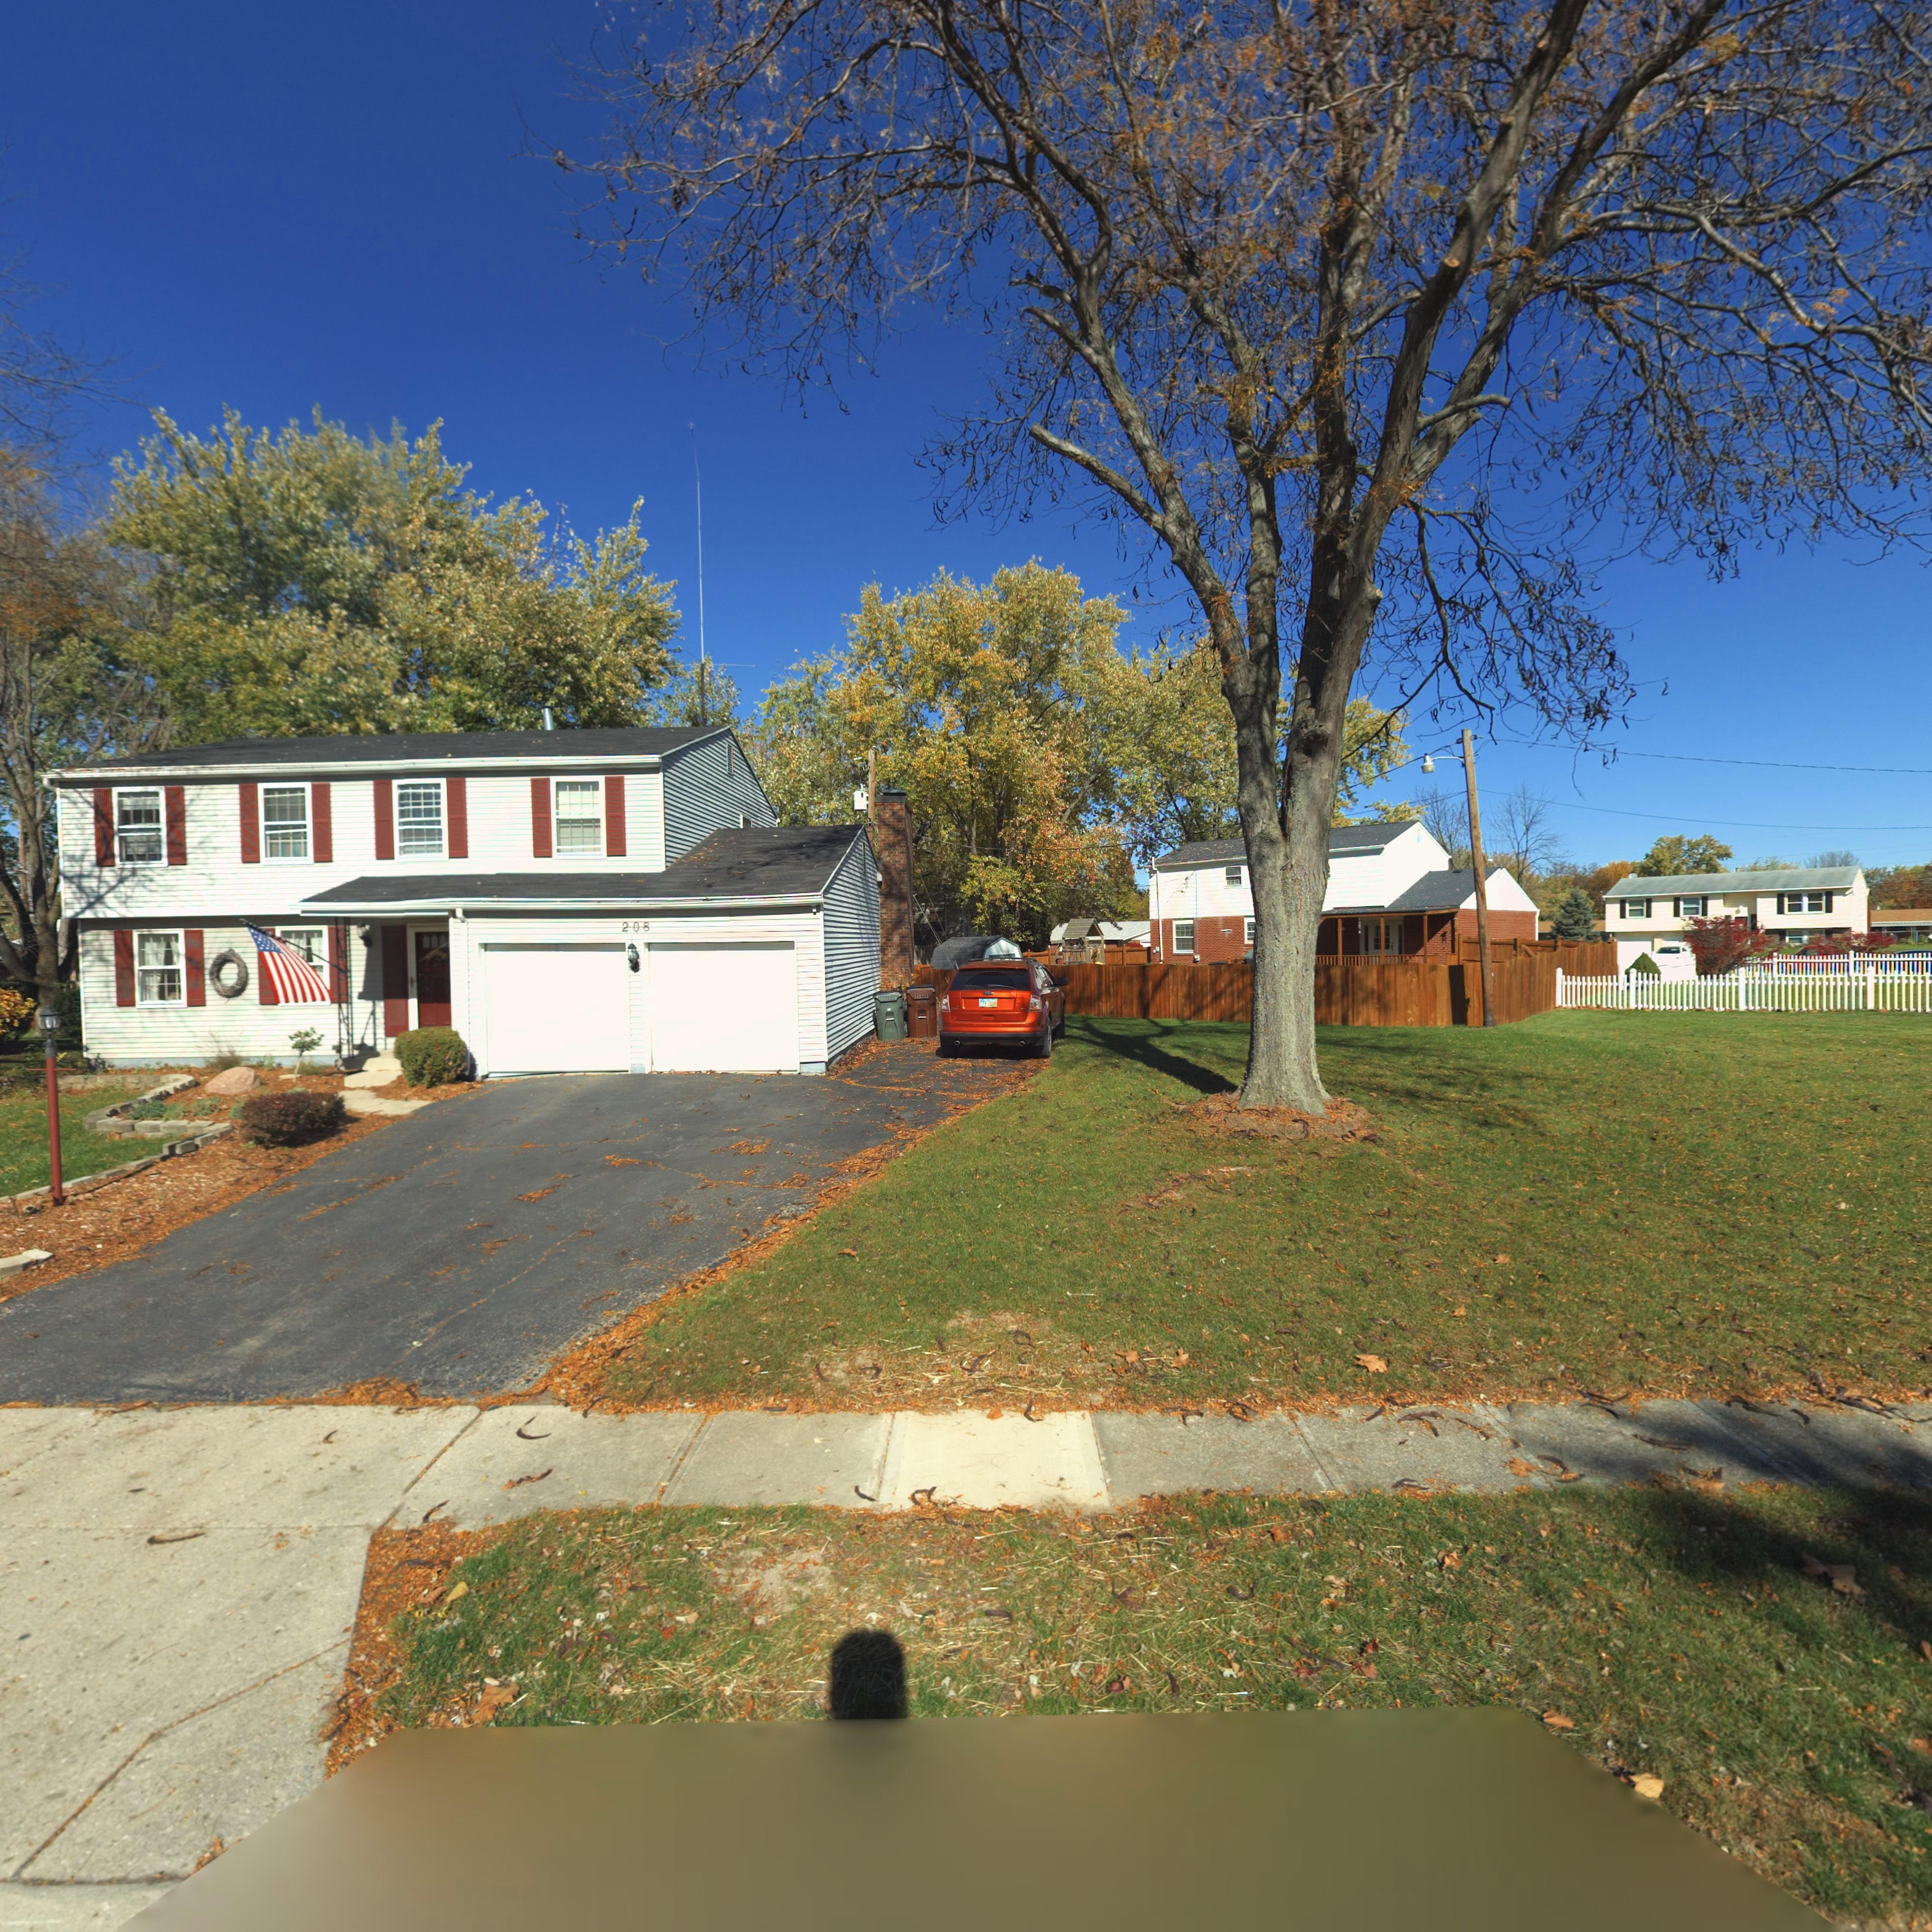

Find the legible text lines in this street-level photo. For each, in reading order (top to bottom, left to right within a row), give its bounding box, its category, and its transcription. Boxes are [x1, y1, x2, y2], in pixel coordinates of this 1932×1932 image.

[621, 920, 651, 933] StreetNumber: 208